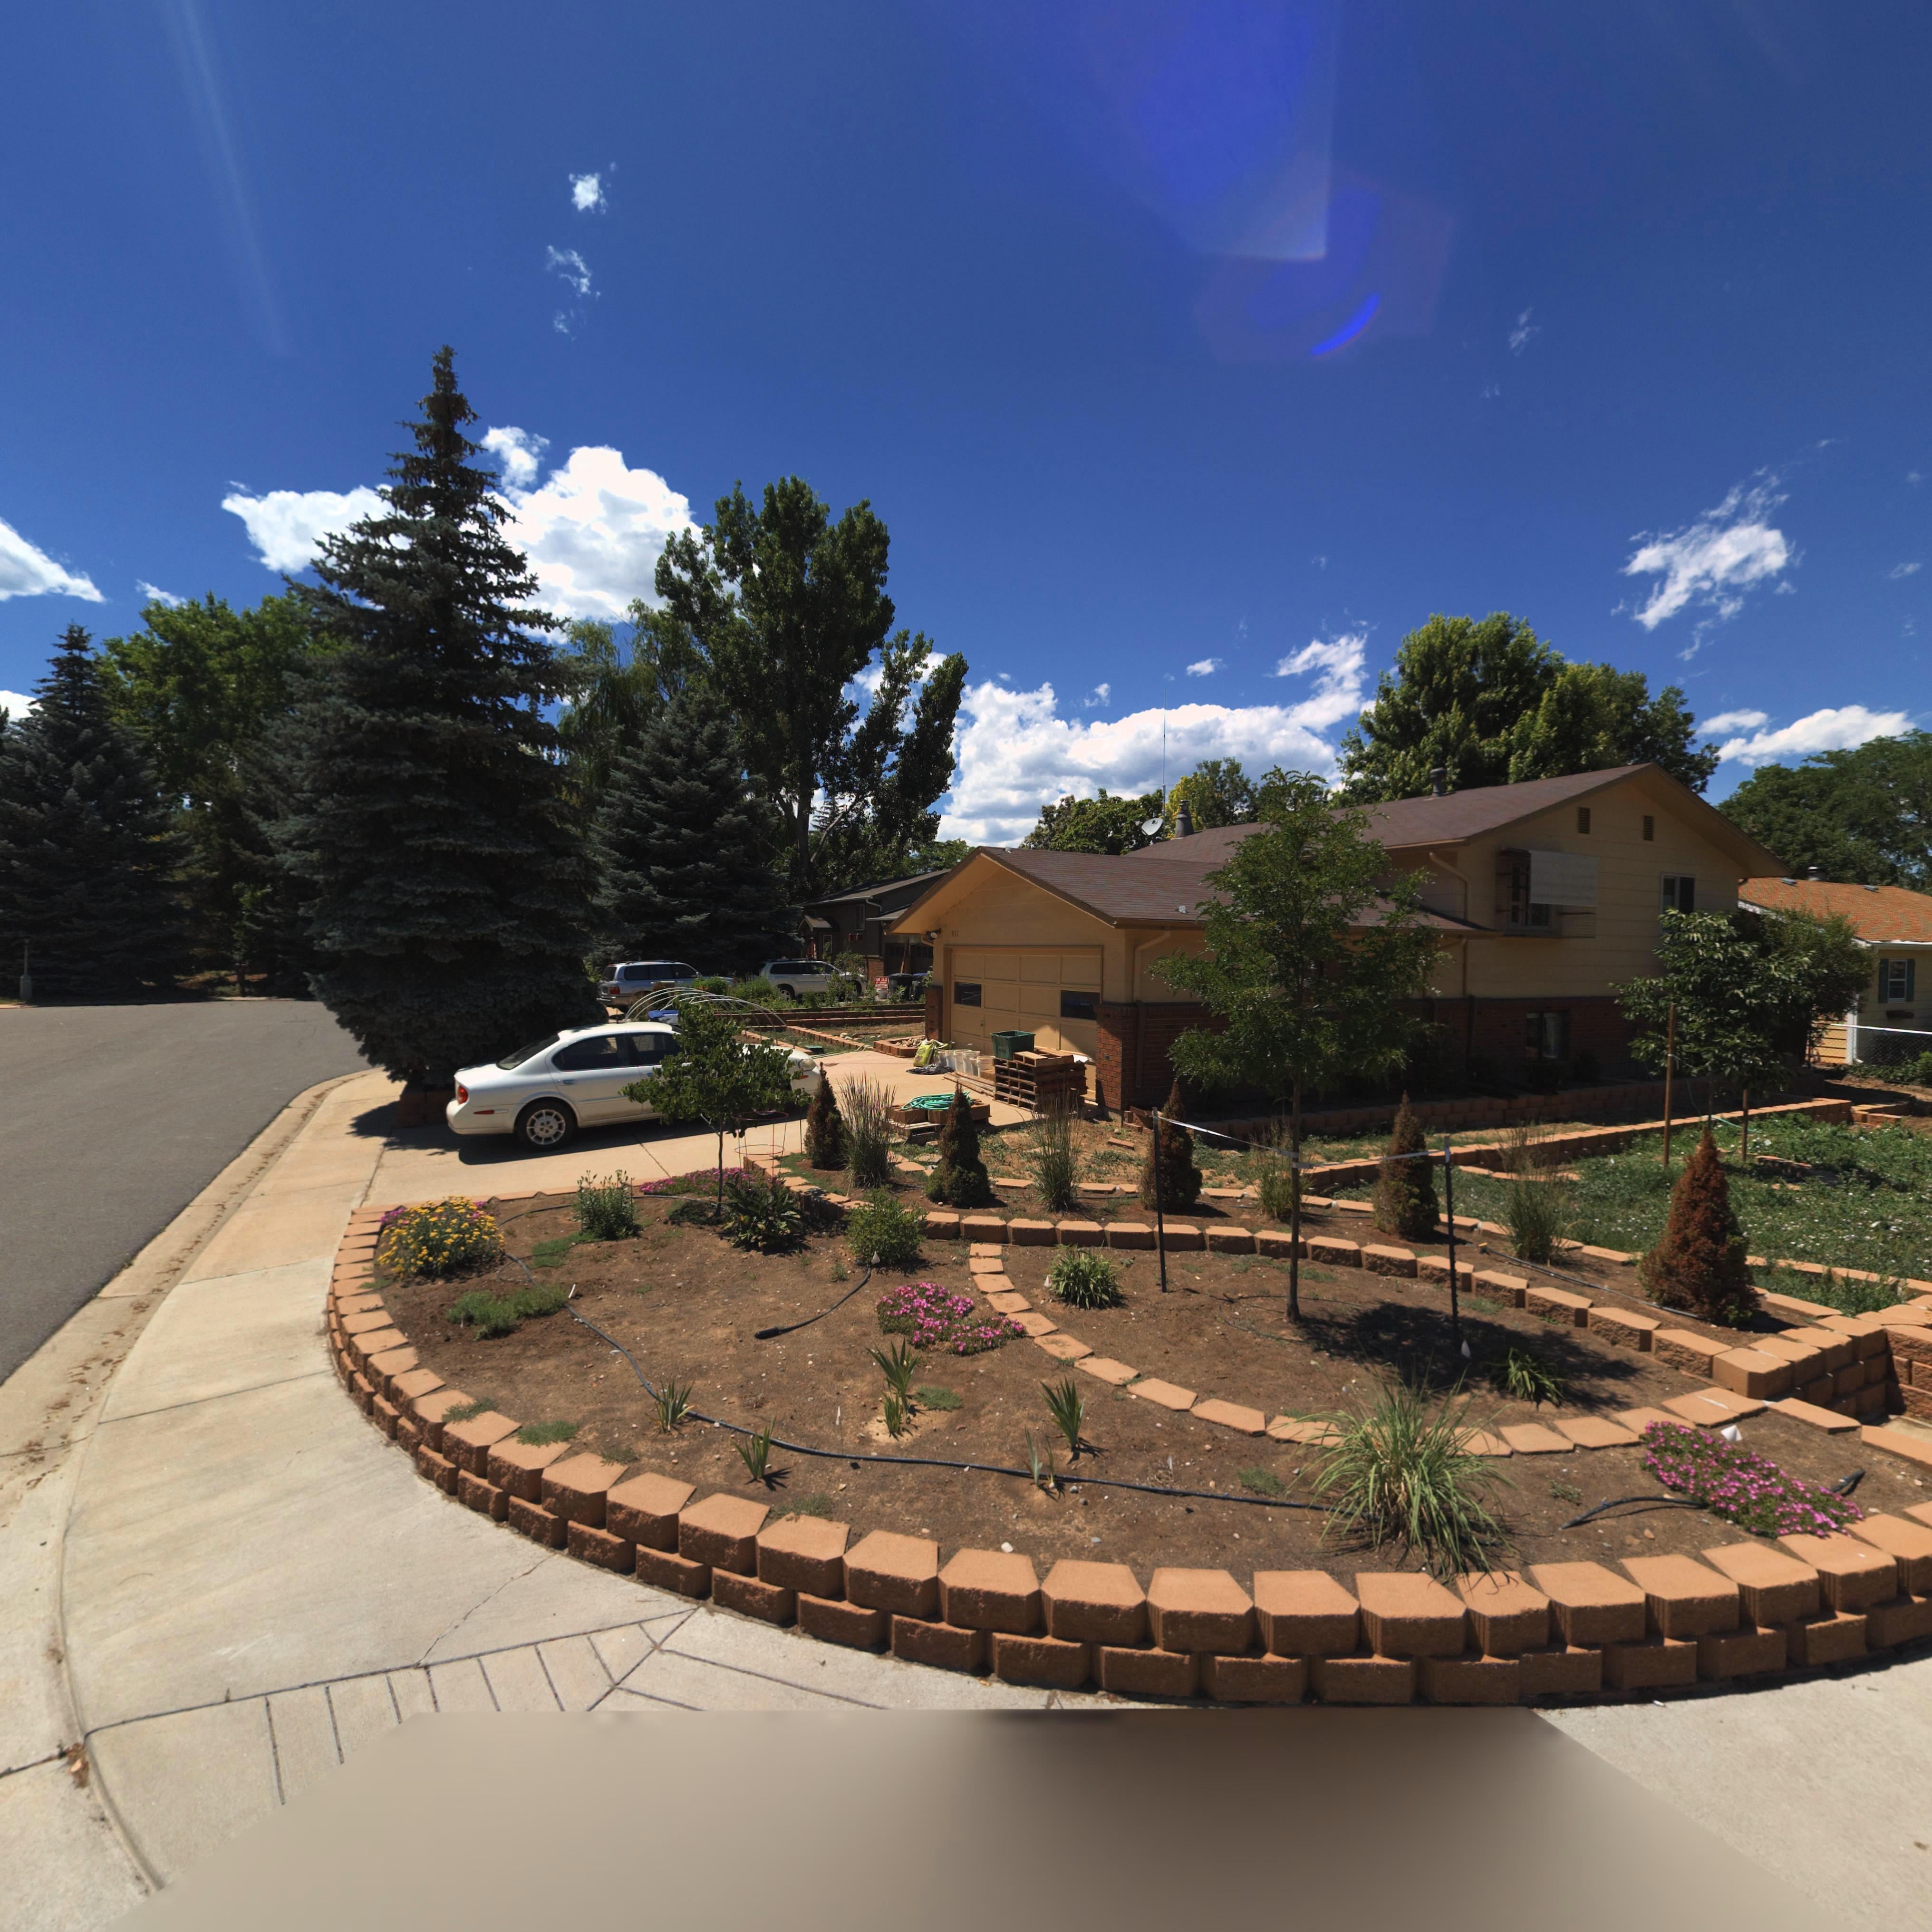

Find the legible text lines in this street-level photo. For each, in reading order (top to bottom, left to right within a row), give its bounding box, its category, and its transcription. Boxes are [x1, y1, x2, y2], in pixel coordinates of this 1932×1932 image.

[950, 929, 959, 937] StreetNumber: 937